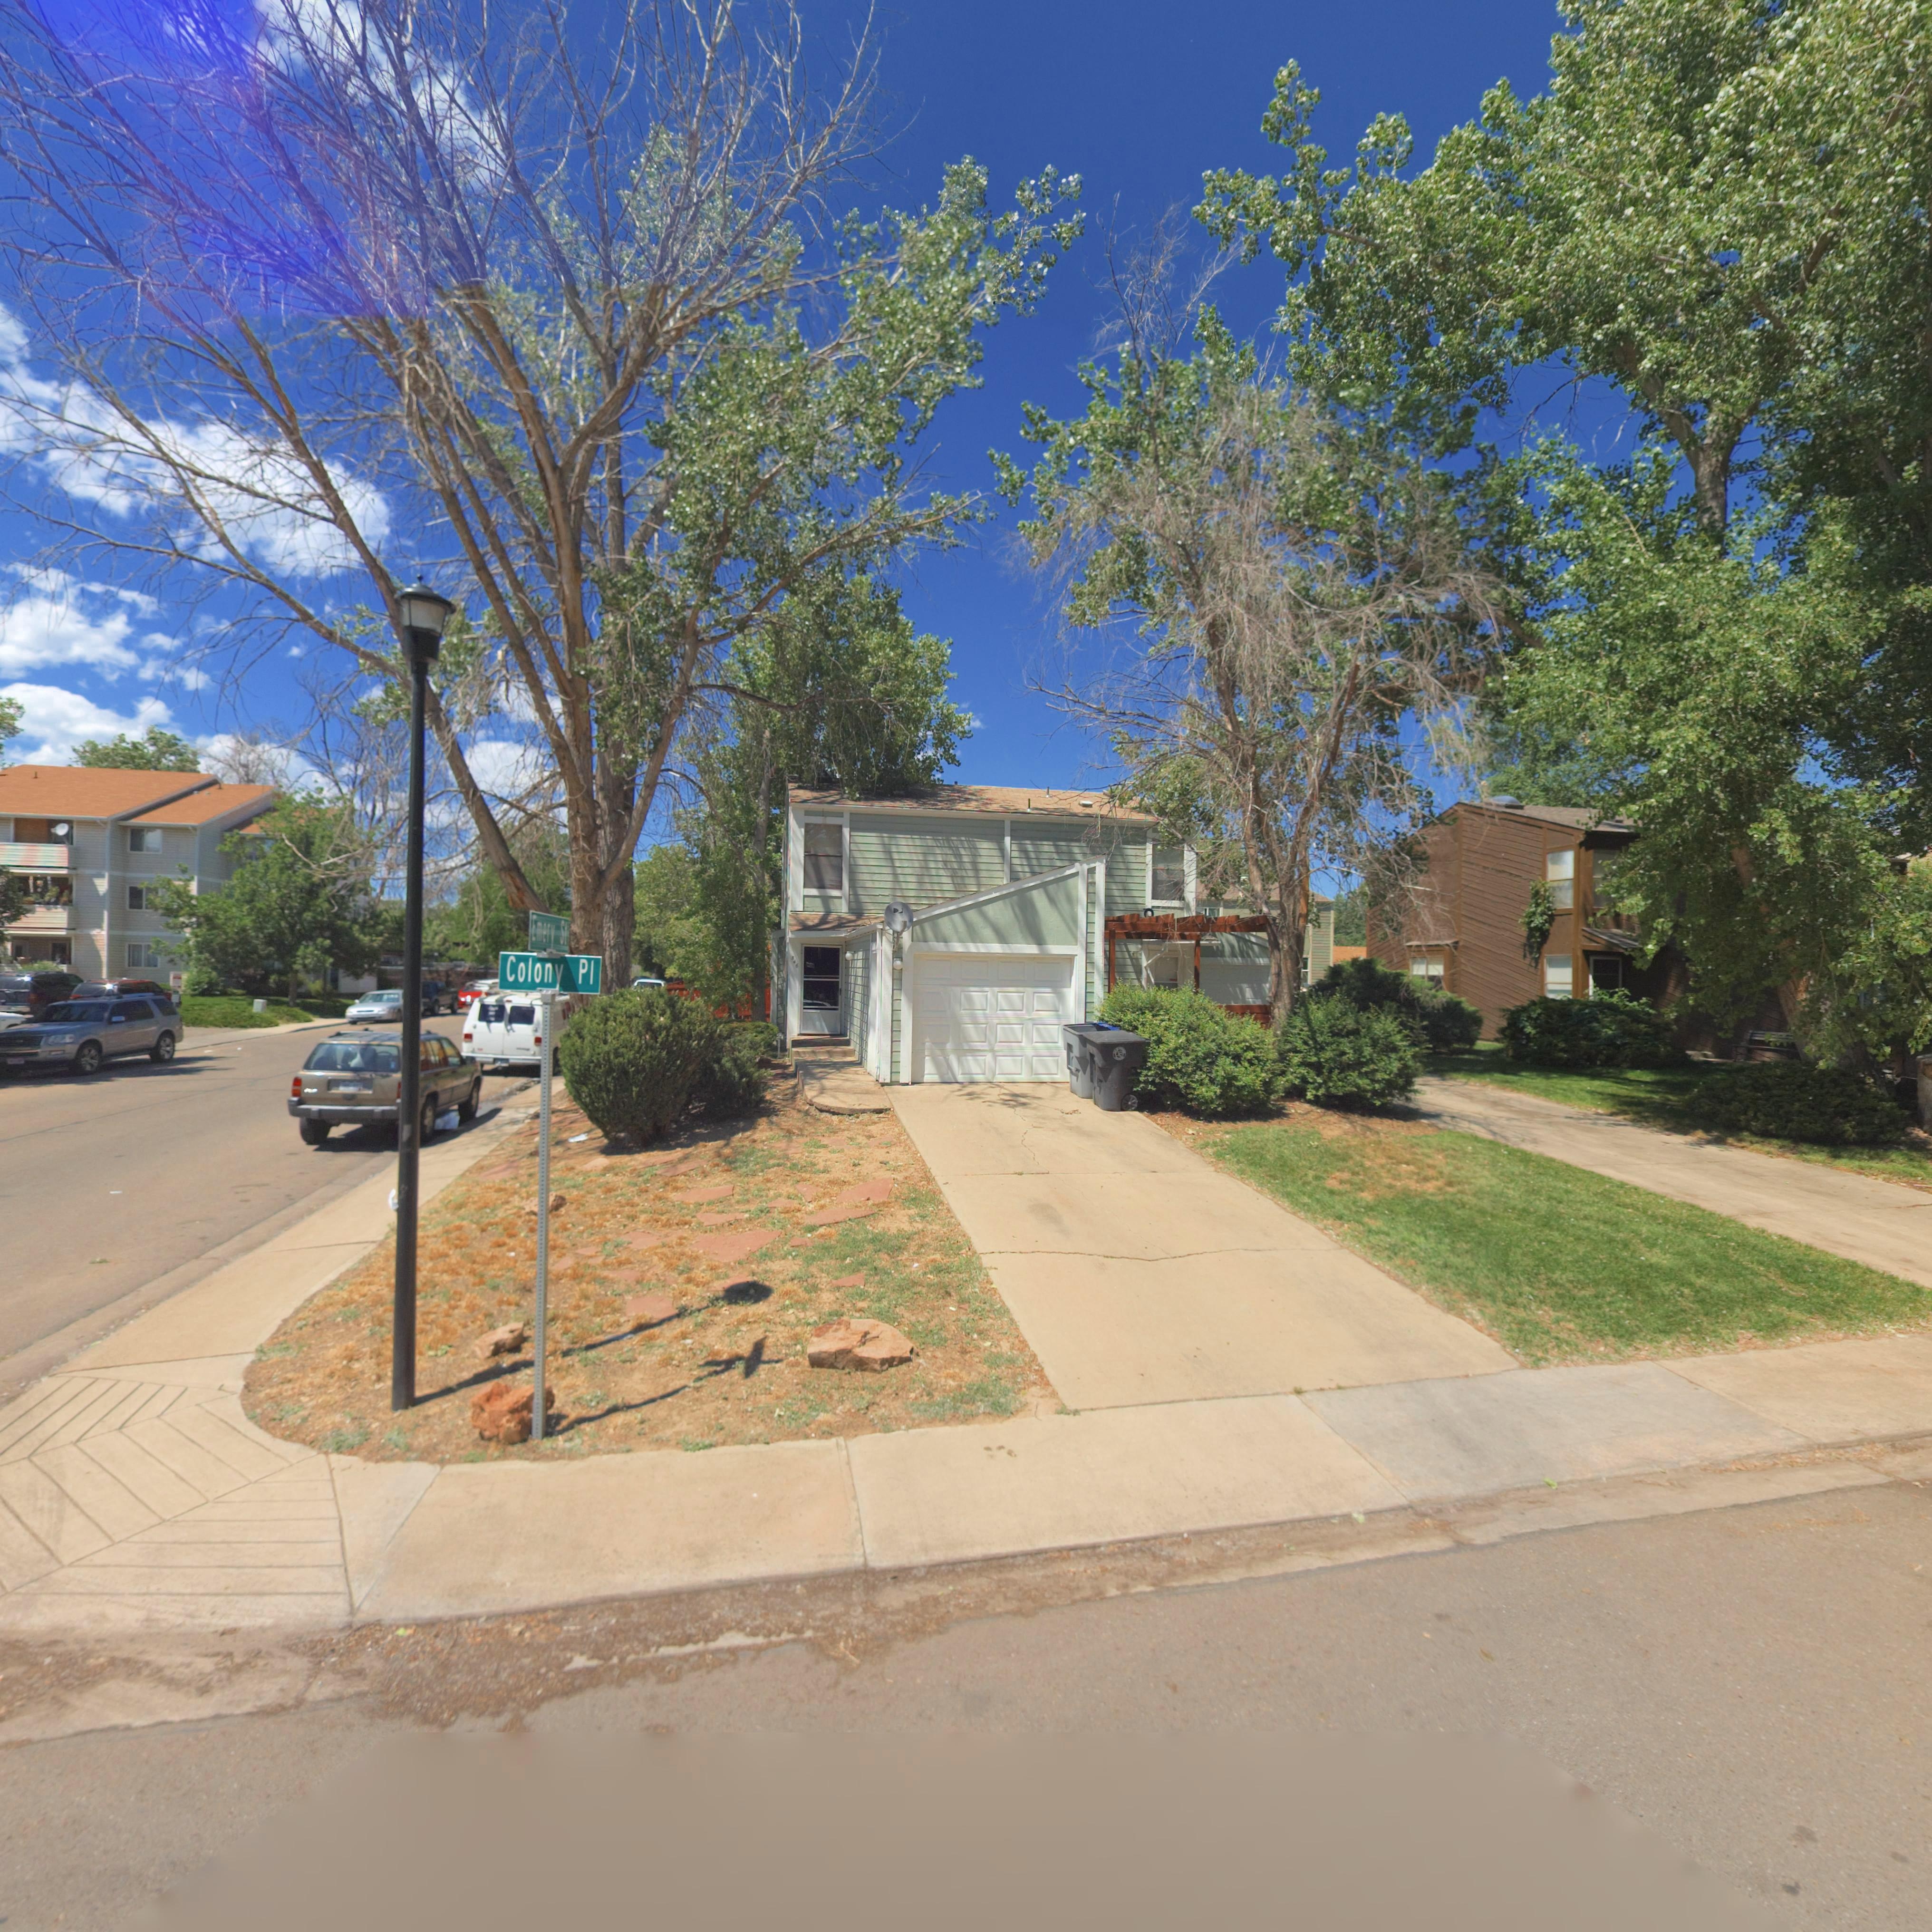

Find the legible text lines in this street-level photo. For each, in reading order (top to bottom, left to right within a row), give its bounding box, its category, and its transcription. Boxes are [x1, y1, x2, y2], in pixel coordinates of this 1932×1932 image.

[531, 914, 567, 949] StreetName: E*ery St
[506, 955, 594, 989] StreetName: Colony Pl
[791, 956, 799, 968] StreetNumber: 346